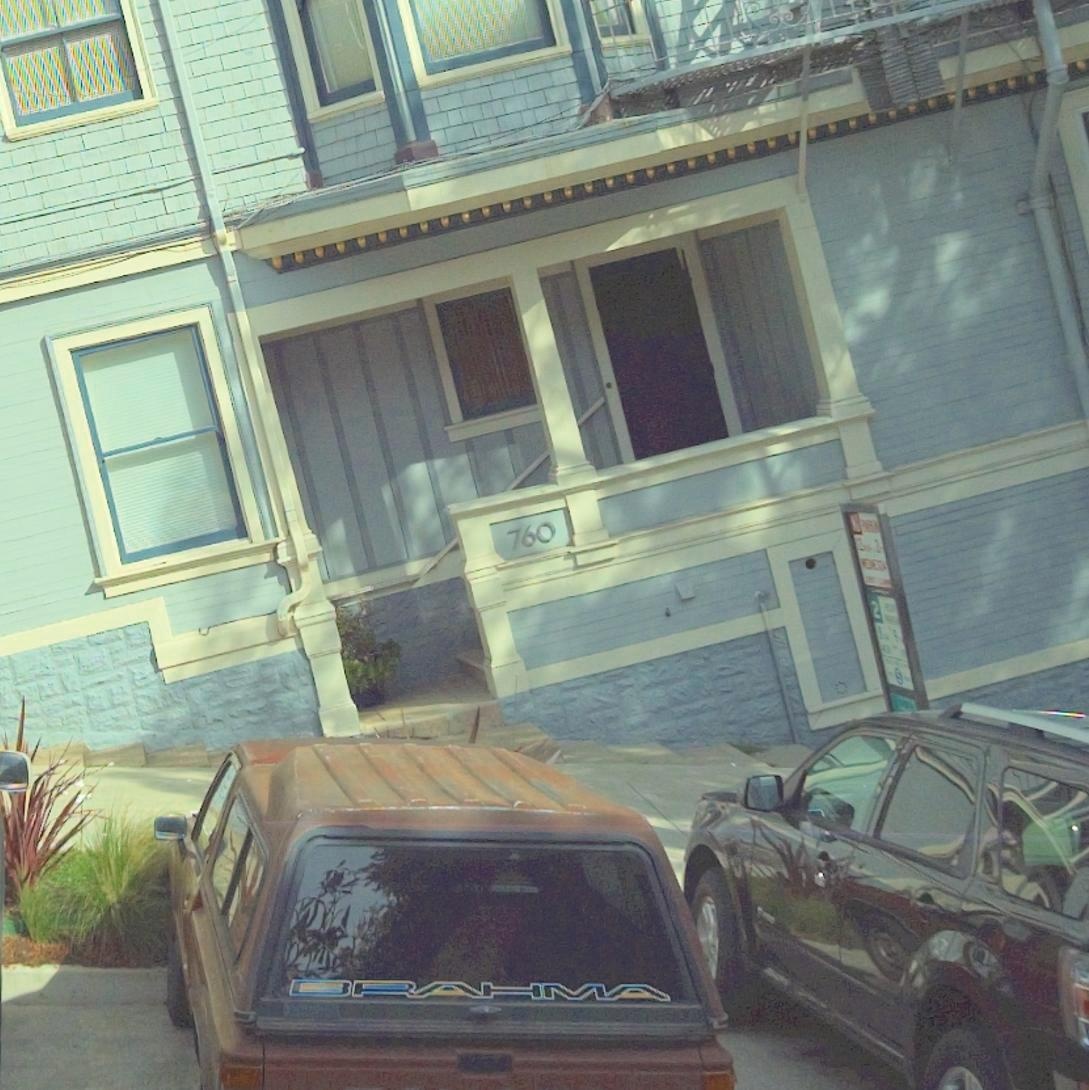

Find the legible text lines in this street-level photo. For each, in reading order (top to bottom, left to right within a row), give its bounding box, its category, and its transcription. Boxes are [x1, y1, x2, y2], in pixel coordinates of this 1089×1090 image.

[847, 514, 861, 535] None: NO
[859, 519, 880, 532] None: PARKING
[504, 518, 560, 555] StreetNumber: 760
[873, 538, 880, 554] None: 2
[869, 600, 882, 621] None: 2
[883, 604, 897, 612] None: HOUR
[287, 976, 674, 1002] None: BRAHMA